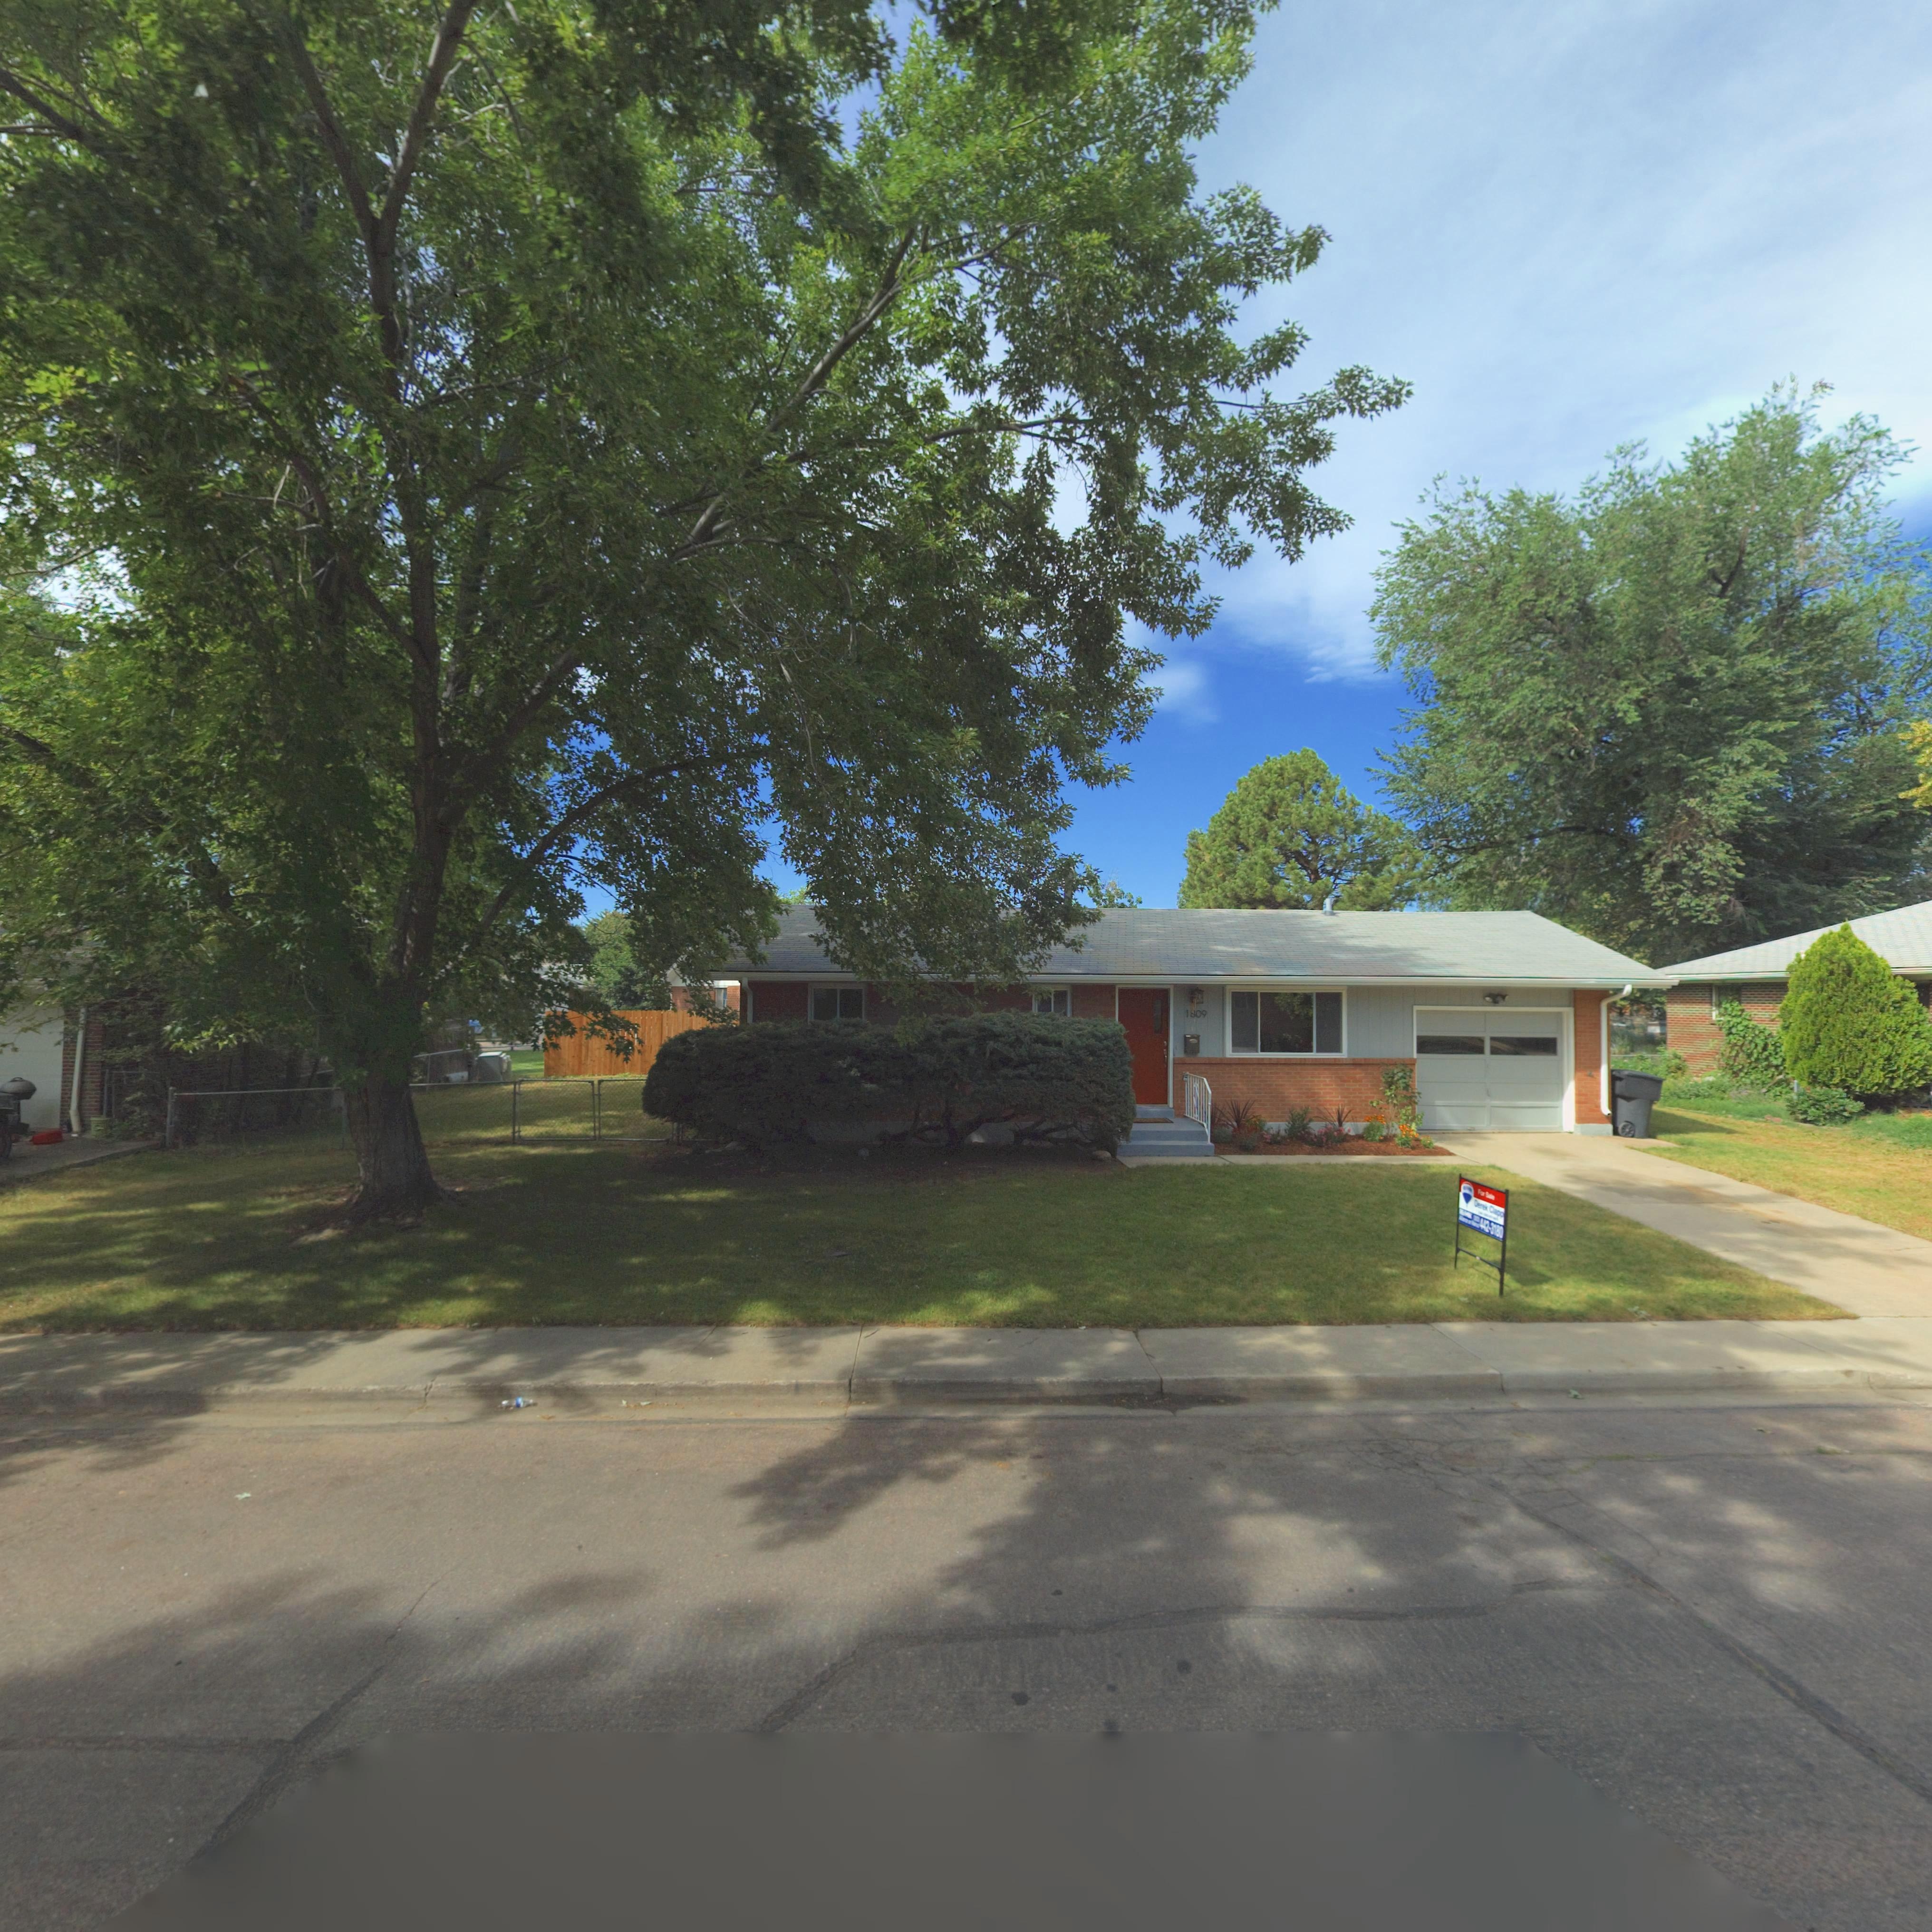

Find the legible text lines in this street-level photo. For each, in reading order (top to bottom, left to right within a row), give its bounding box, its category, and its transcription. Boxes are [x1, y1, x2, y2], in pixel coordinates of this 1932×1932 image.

[1186, 1009, 1207, 1018] StreetNumber: 1809